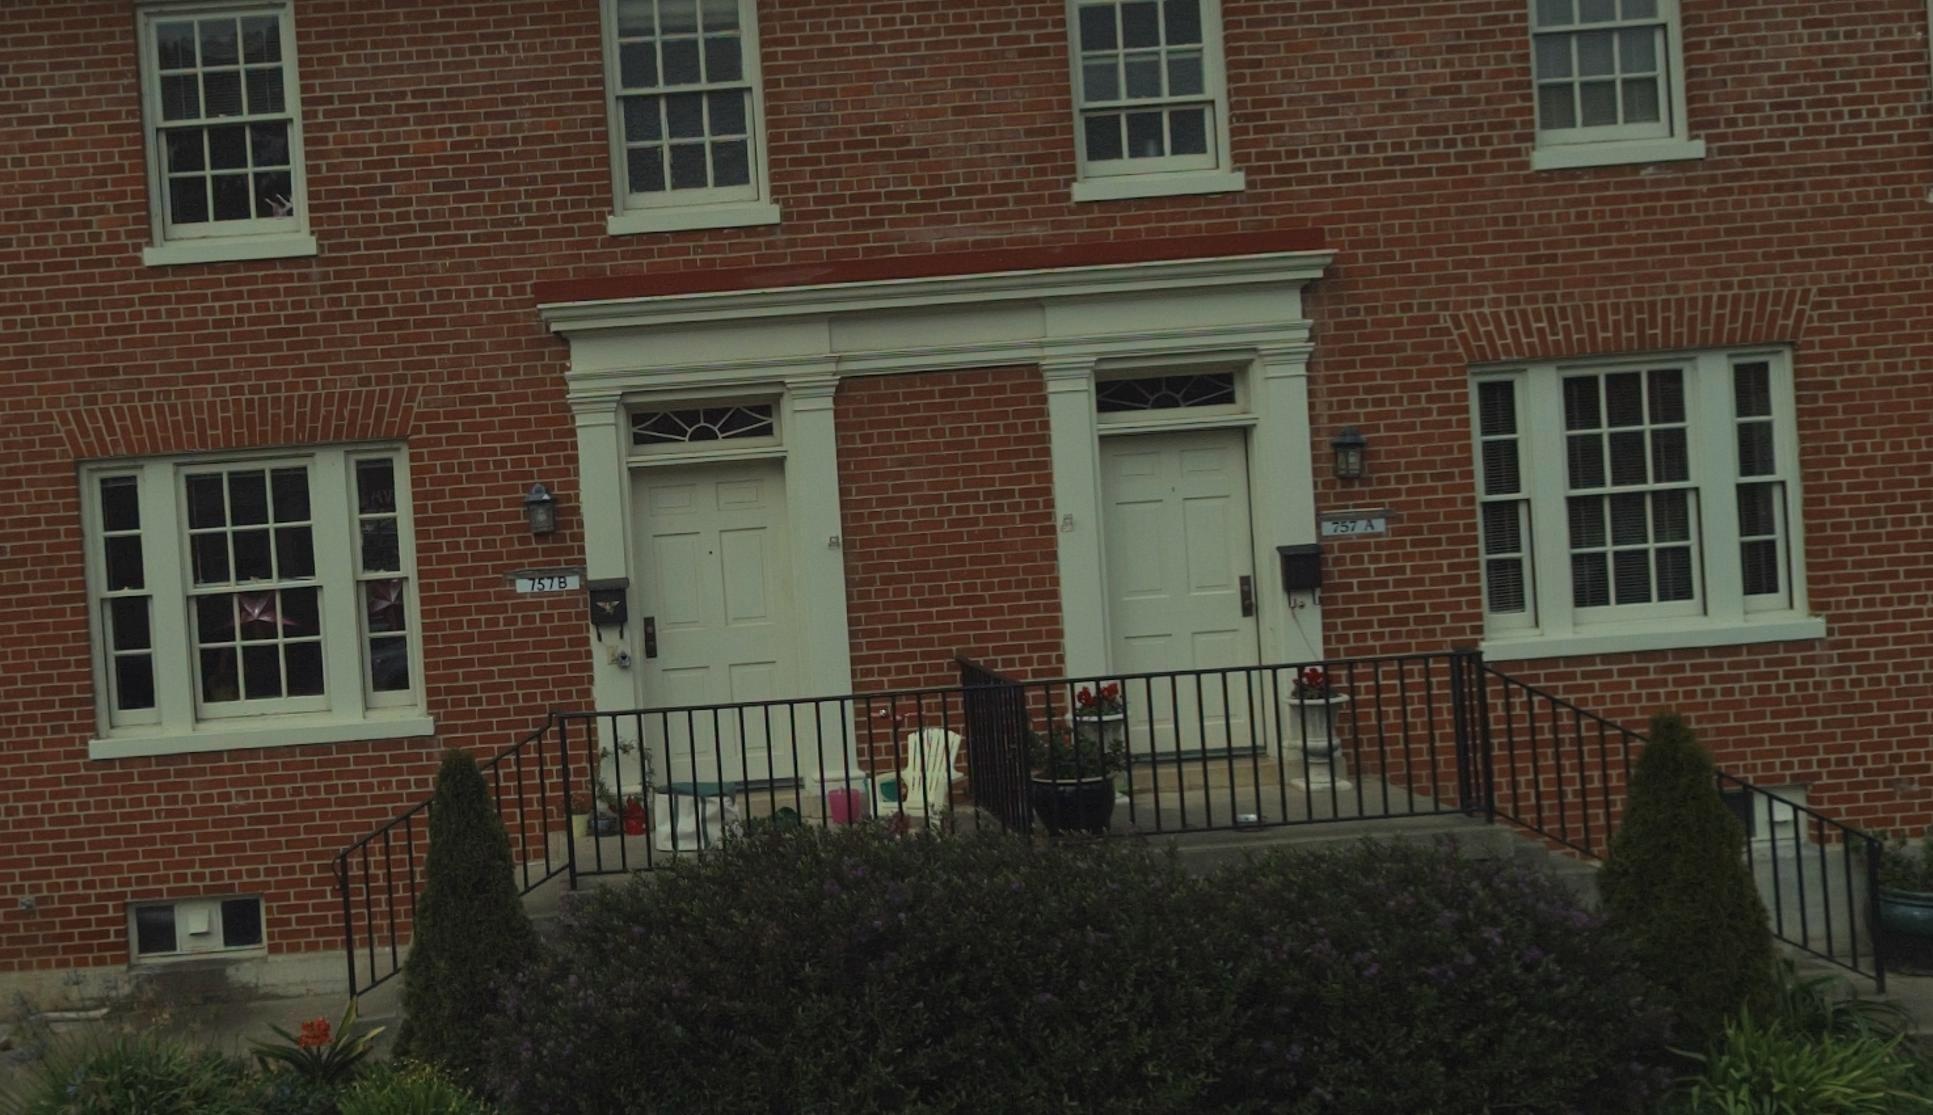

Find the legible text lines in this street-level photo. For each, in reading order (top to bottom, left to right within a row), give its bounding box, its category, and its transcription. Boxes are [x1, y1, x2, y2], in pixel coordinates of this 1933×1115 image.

[1331, 517, 1377, 534] StreetNumber: 757 A
[527, 574, 569, 592] StreetNumber: 757 B